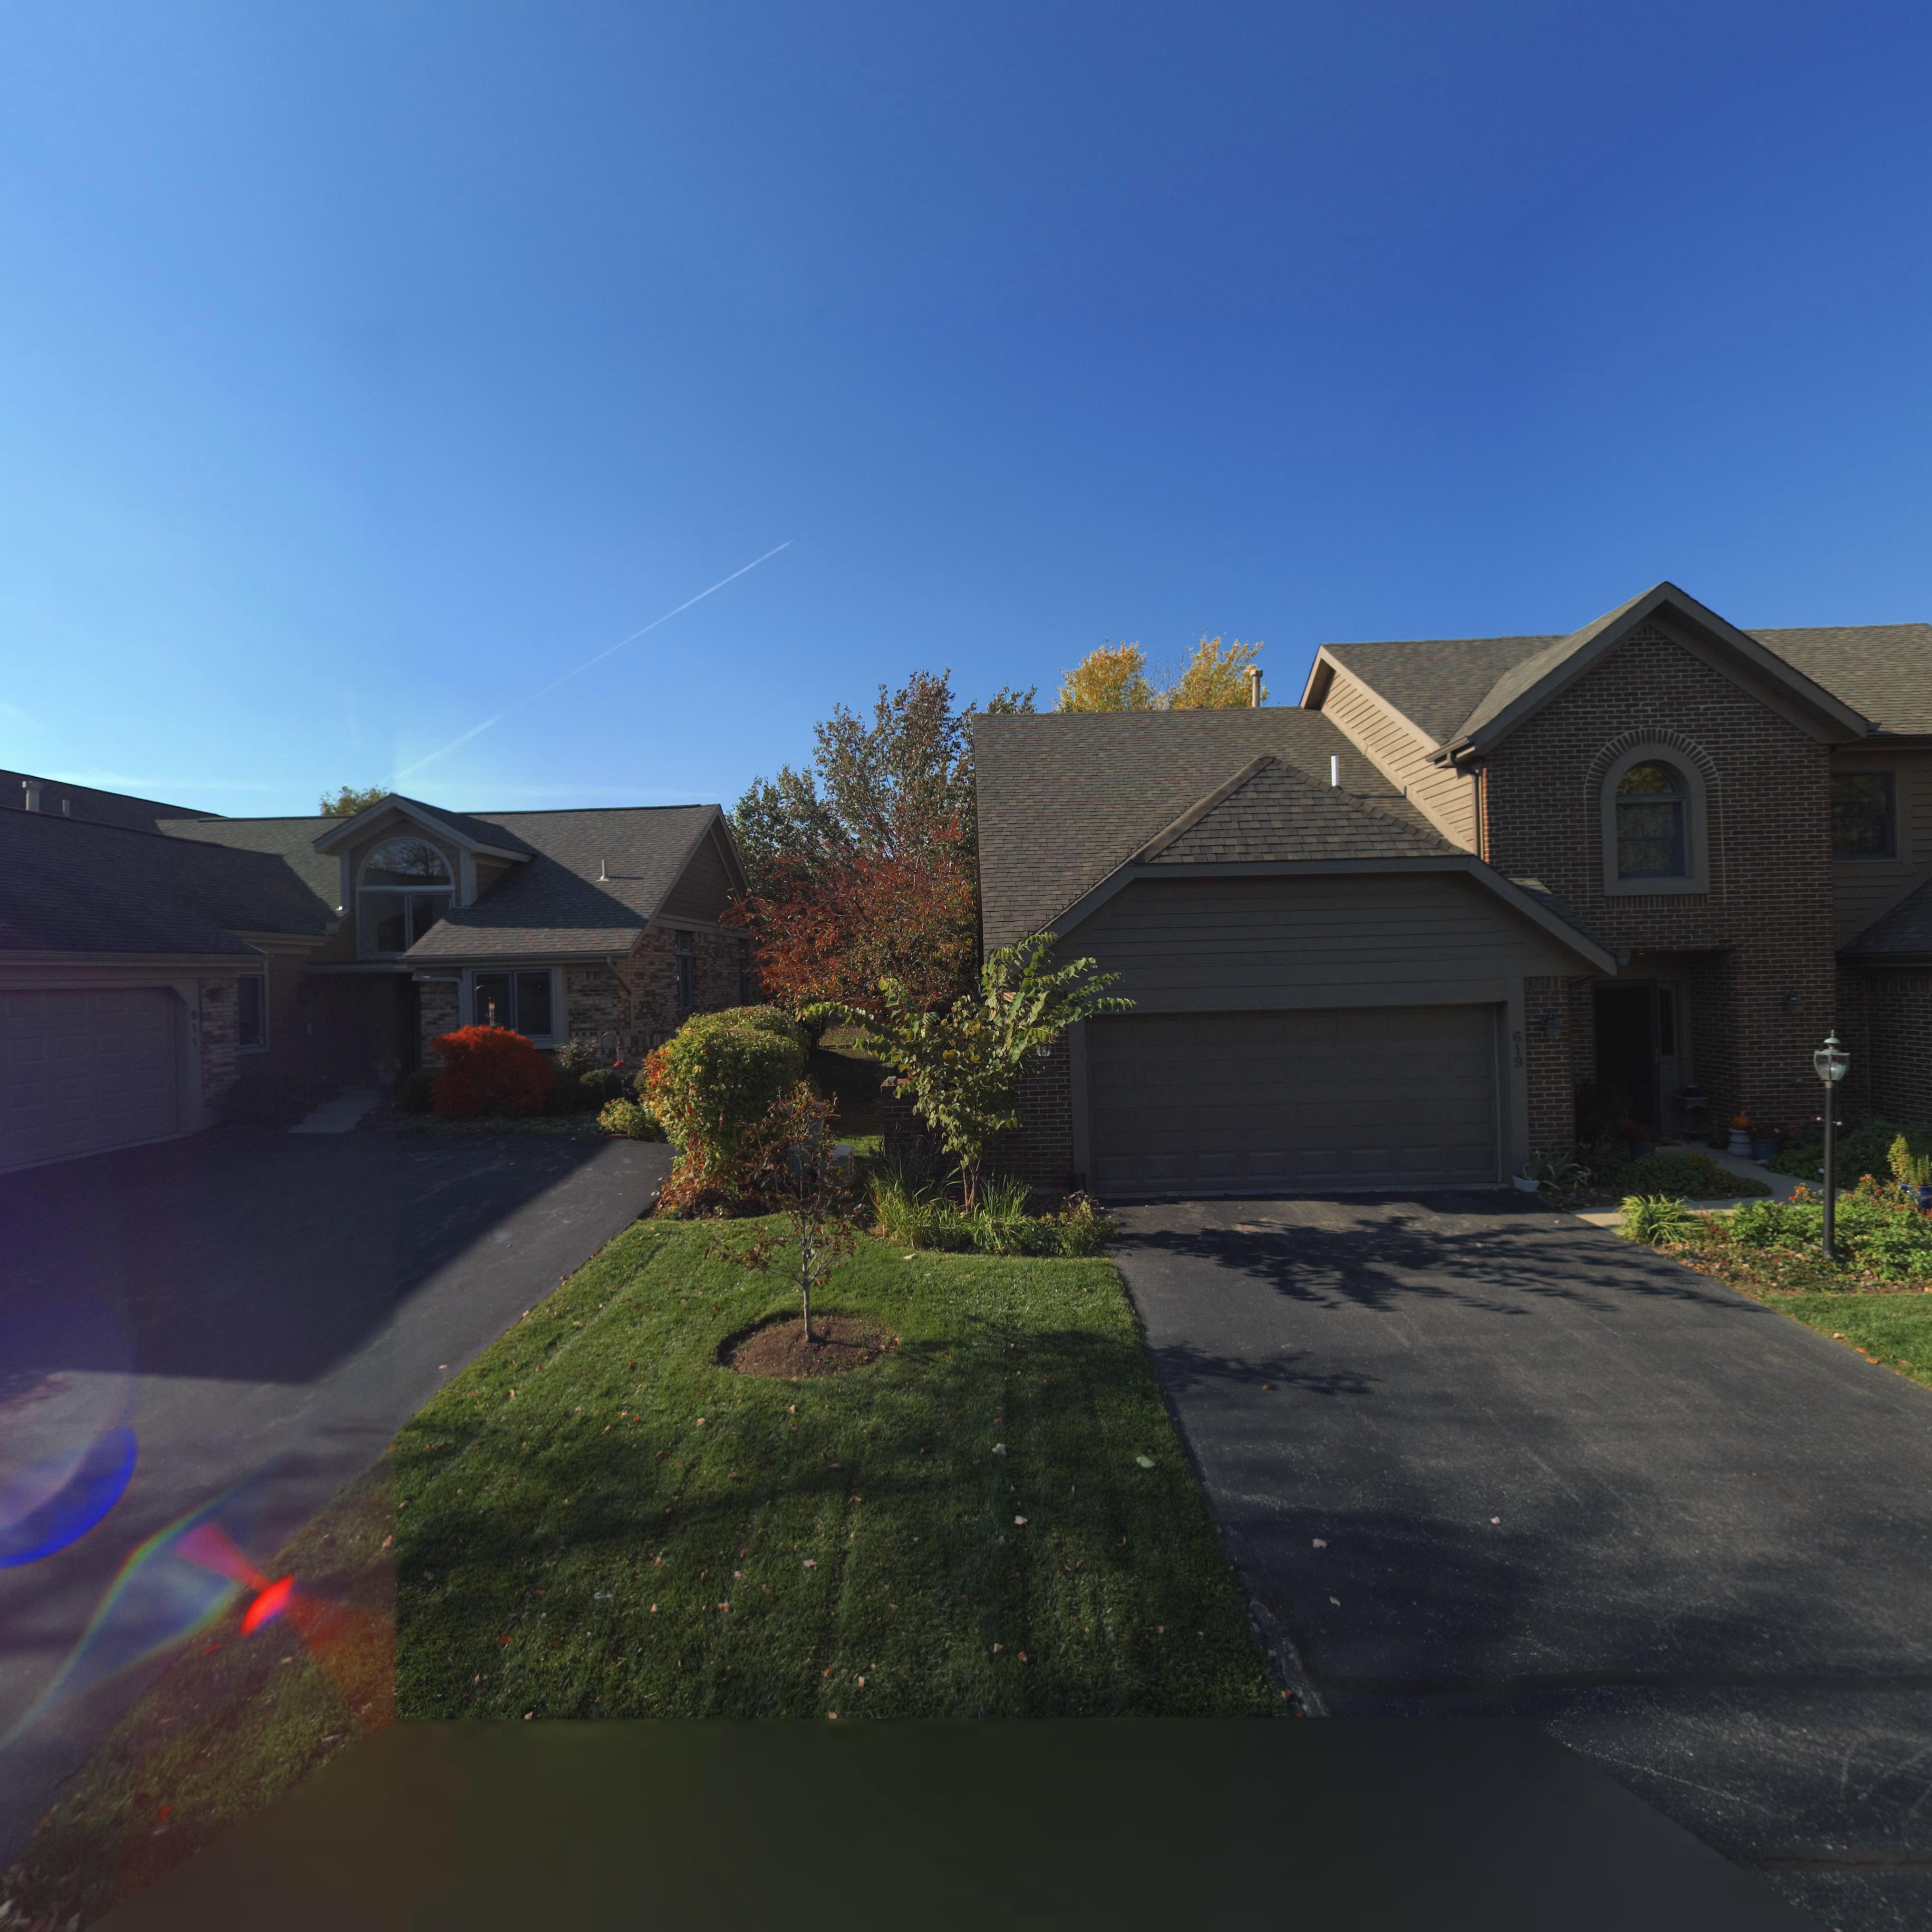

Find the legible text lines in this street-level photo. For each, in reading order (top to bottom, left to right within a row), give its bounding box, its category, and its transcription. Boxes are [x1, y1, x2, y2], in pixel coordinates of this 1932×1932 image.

[1512, 1030, 1524, 1069] StreetNumber: 619